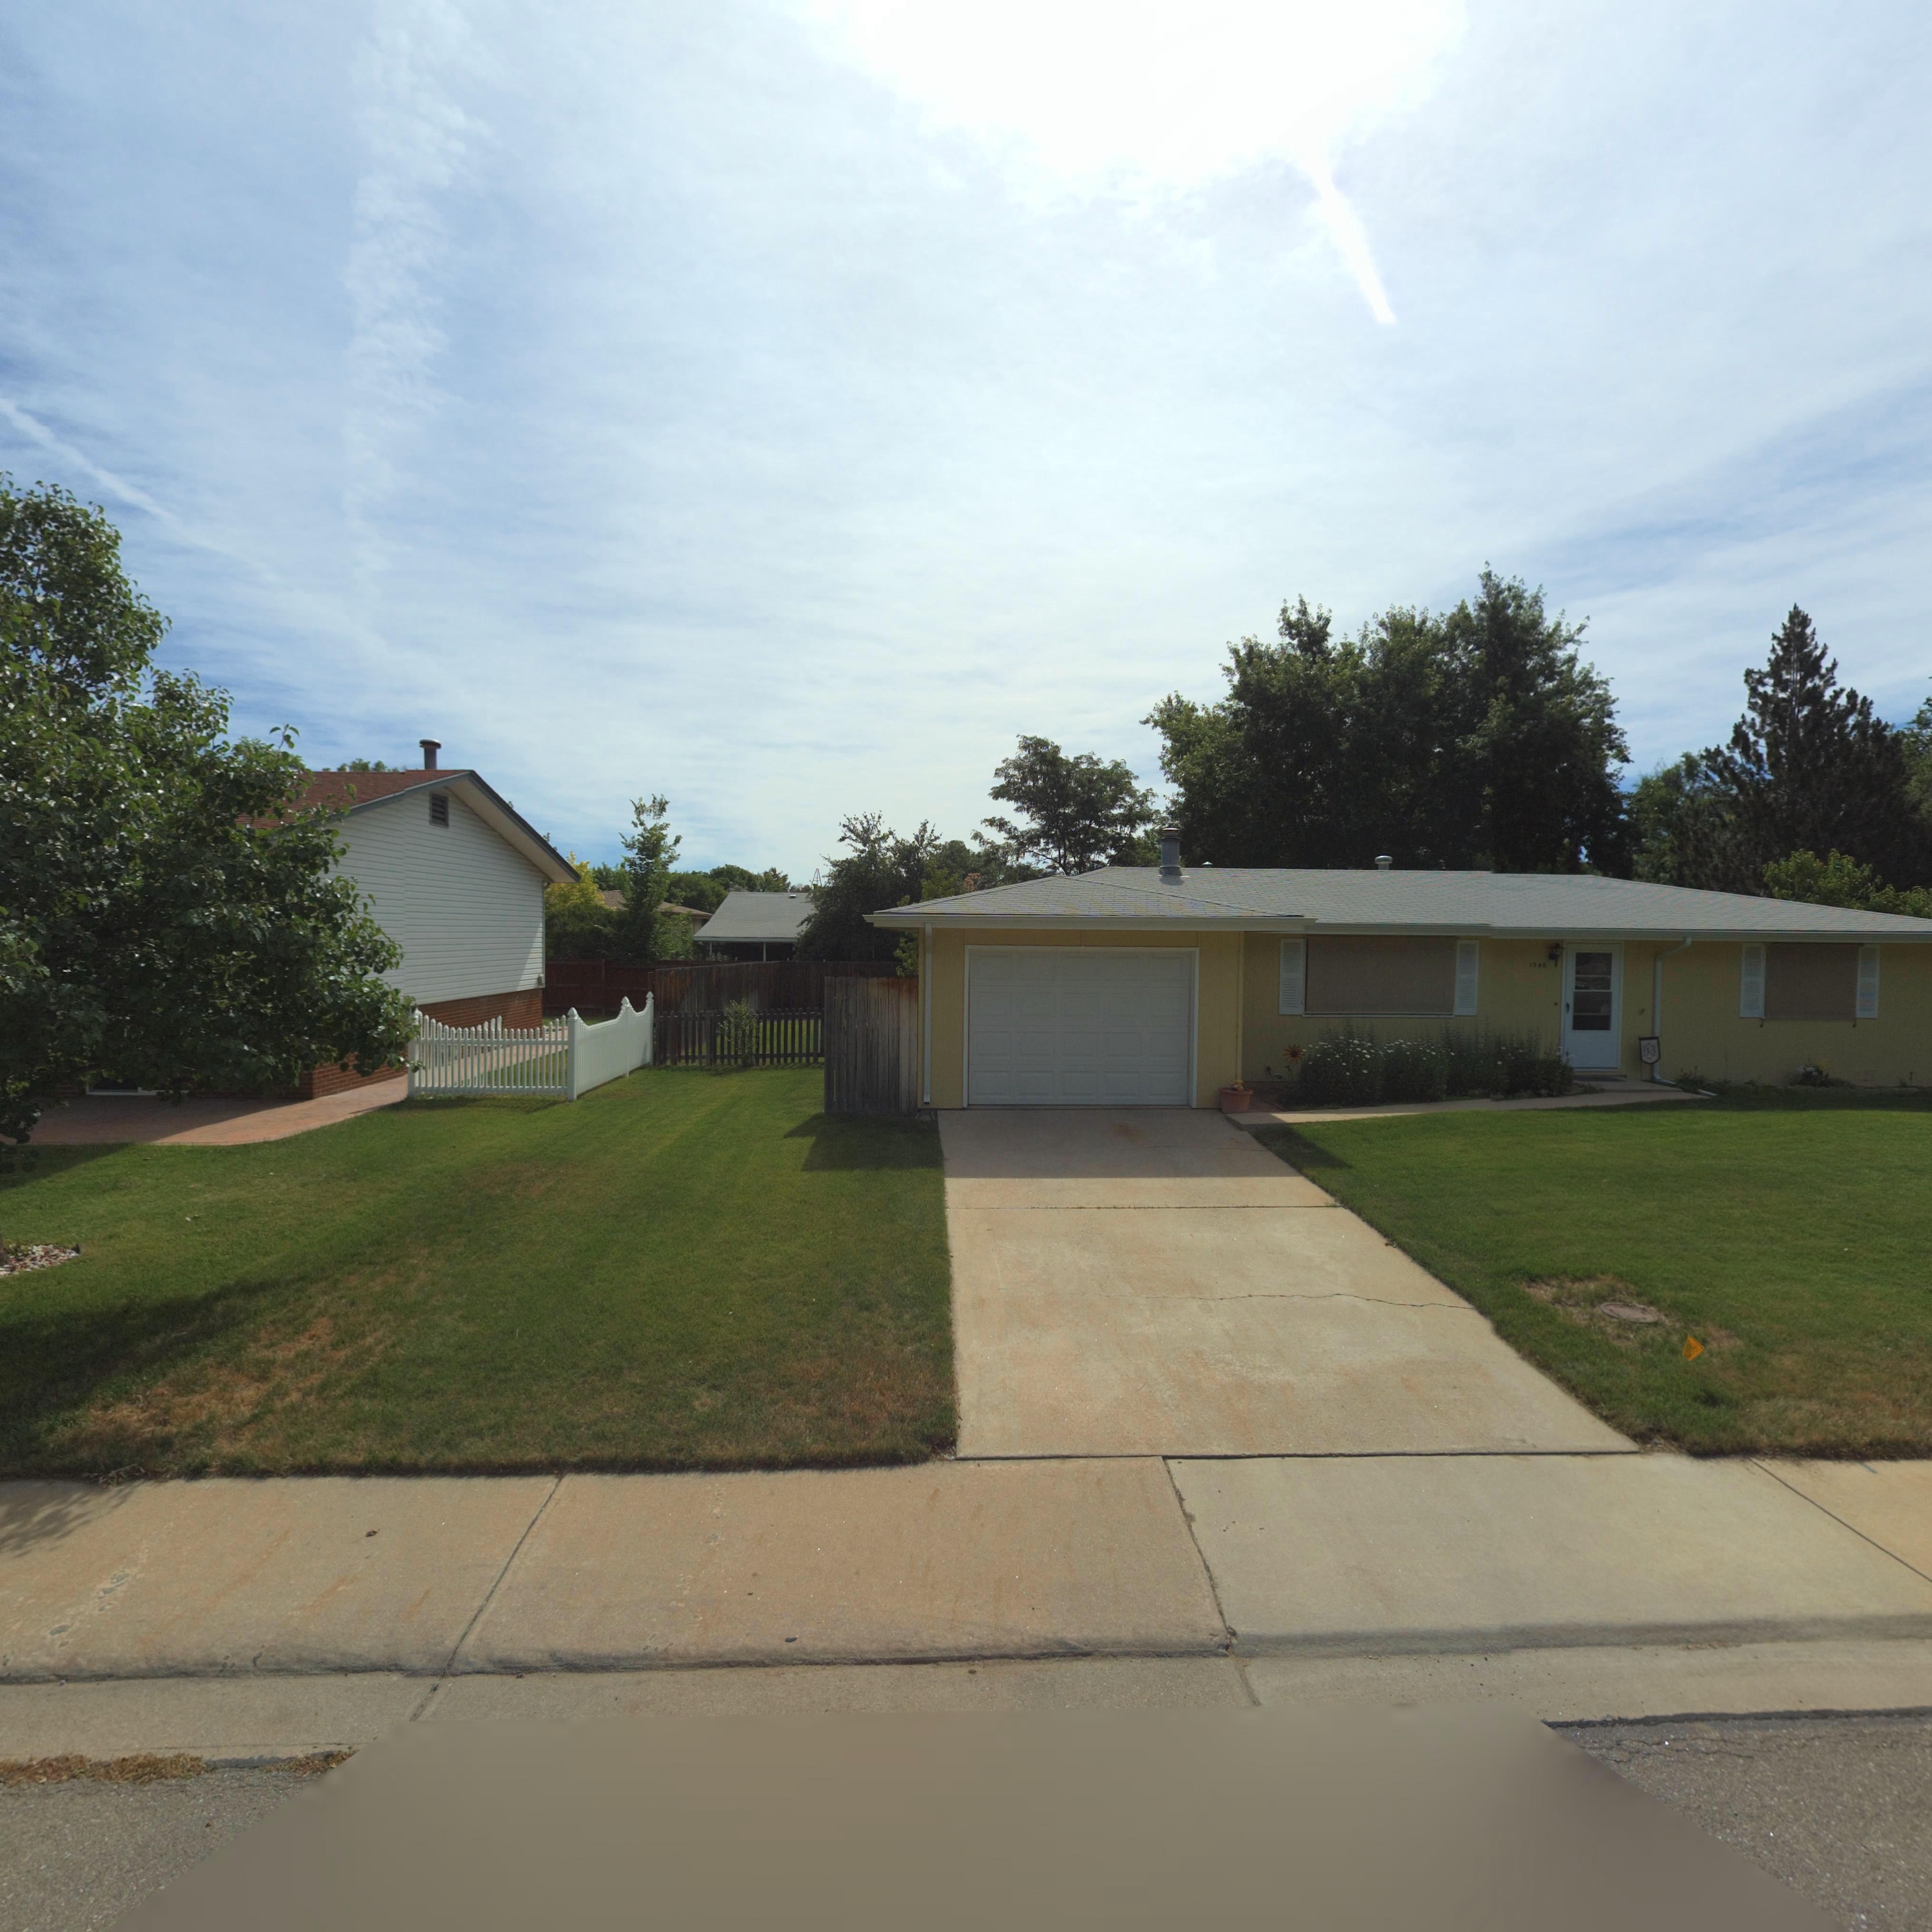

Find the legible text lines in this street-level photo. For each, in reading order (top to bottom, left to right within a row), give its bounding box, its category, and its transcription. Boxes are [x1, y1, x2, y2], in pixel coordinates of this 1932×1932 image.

[1528, 961, 1547, 968] StreetNumber: 1546